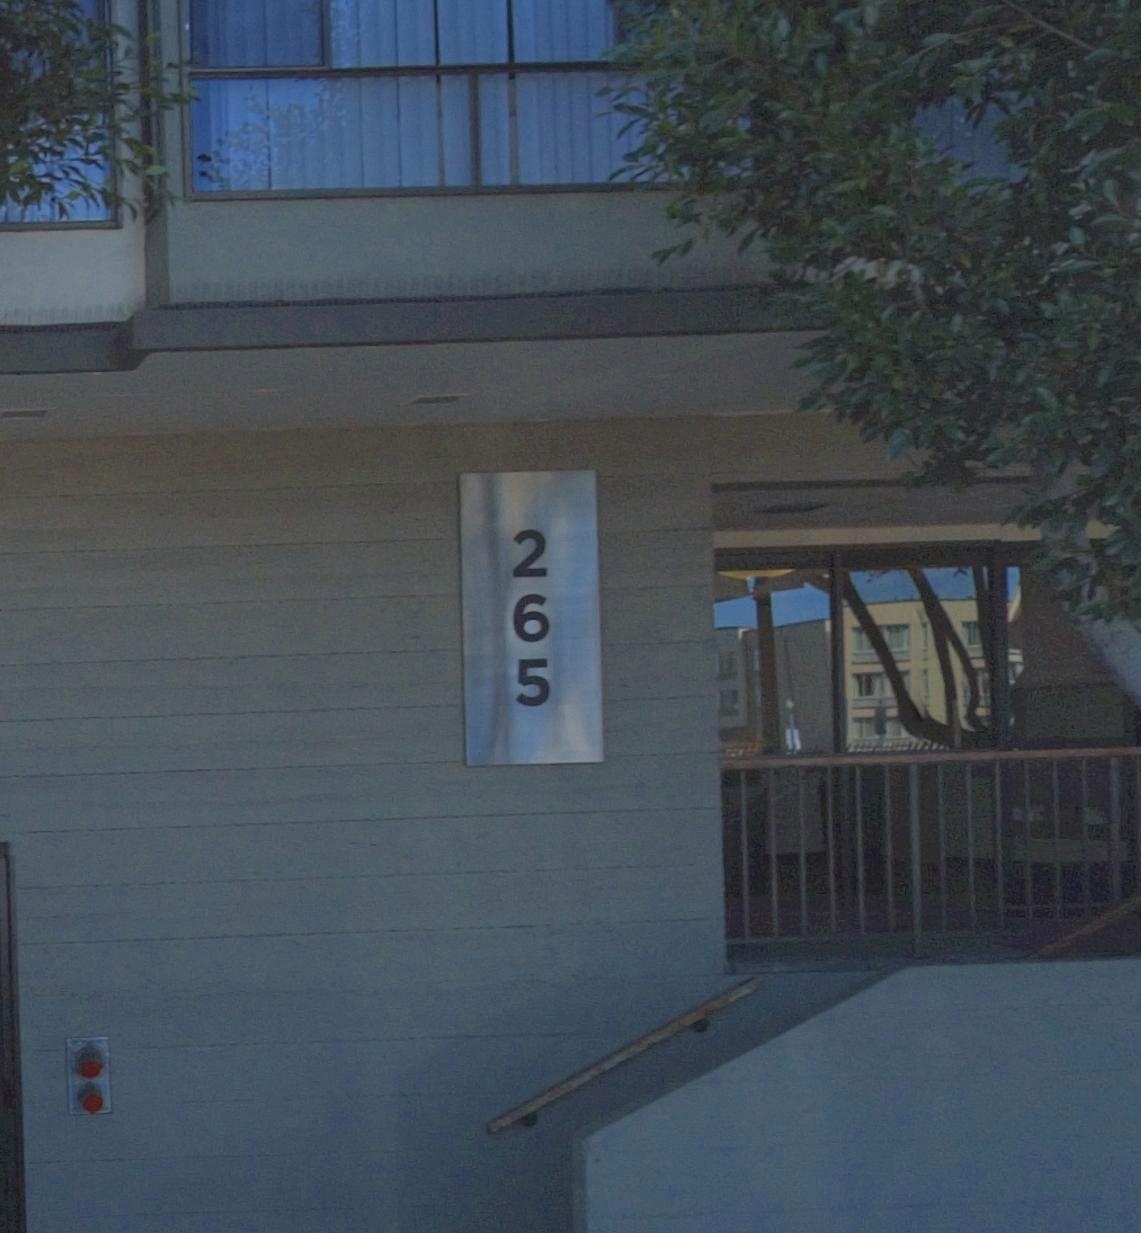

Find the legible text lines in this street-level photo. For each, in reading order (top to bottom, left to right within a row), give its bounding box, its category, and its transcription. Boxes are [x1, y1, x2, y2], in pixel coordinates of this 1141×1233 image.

[511, 526, 552, 710] StreetNumber: 265